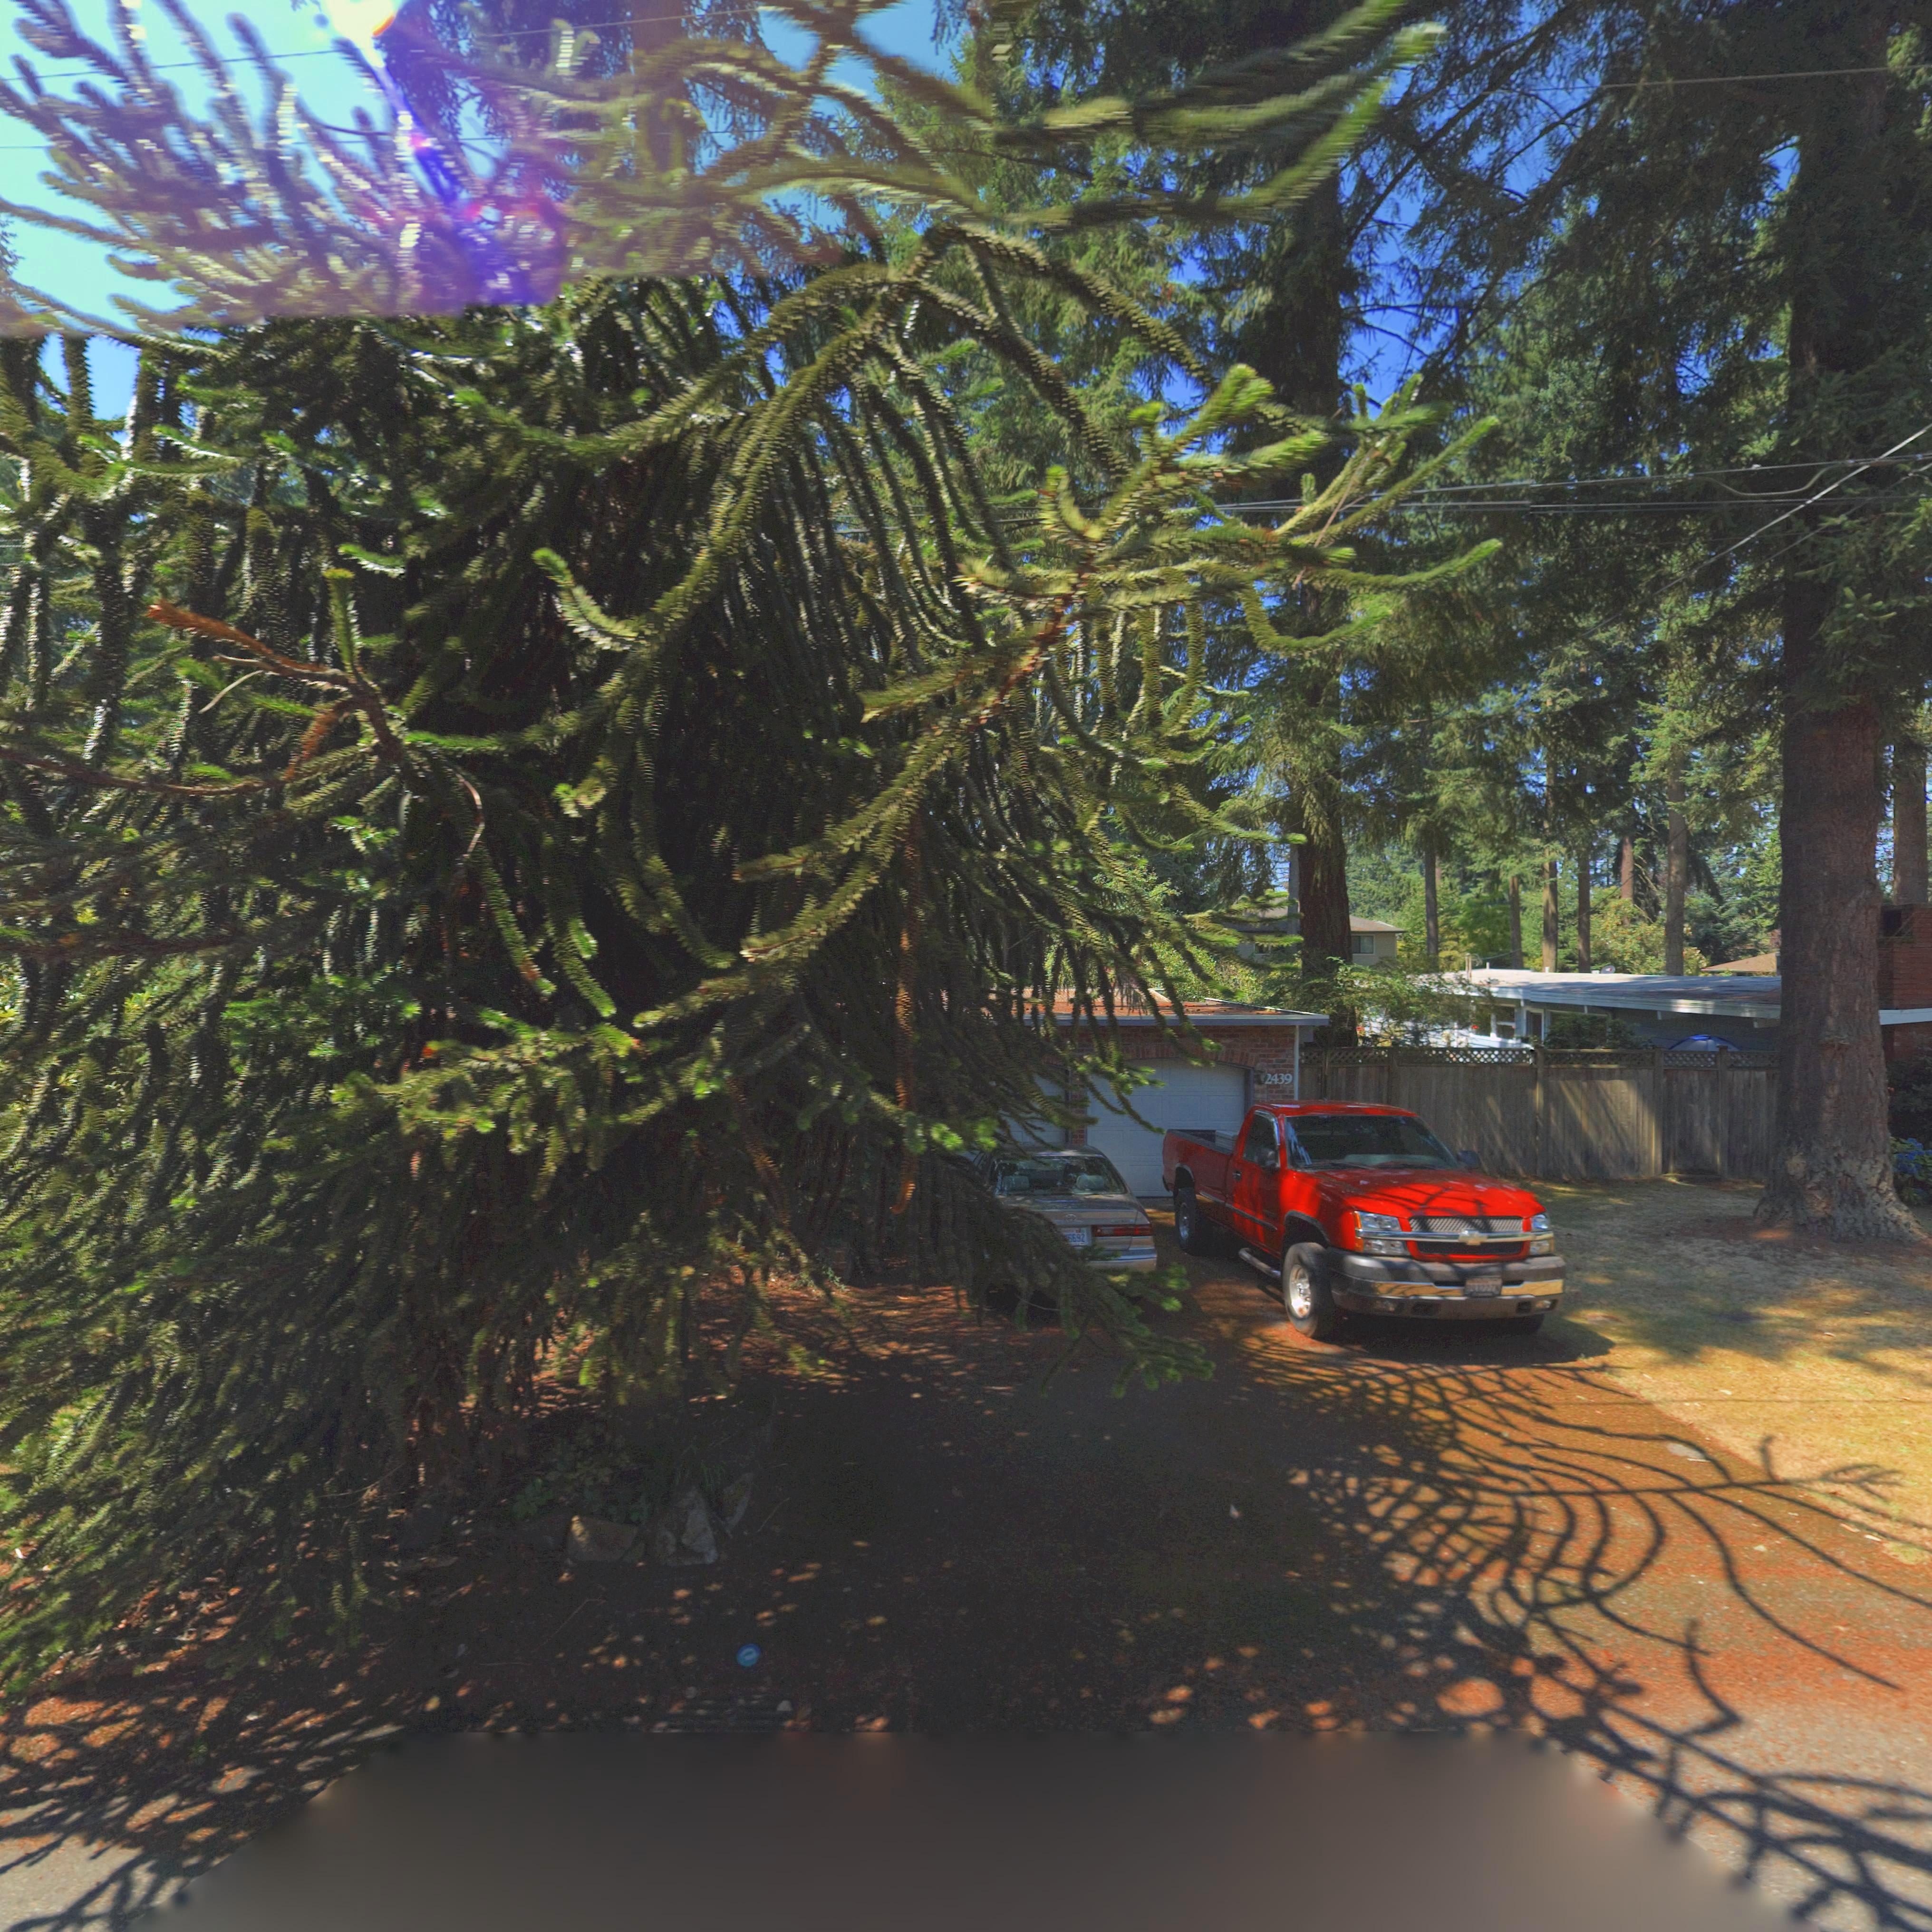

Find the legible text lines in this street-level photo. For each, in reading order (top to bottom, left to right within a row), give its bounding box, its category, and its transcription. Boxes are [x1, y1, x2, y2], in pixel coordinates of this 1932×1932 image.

[1264, 1072, 1294, 1085] StreetNumber: 2439